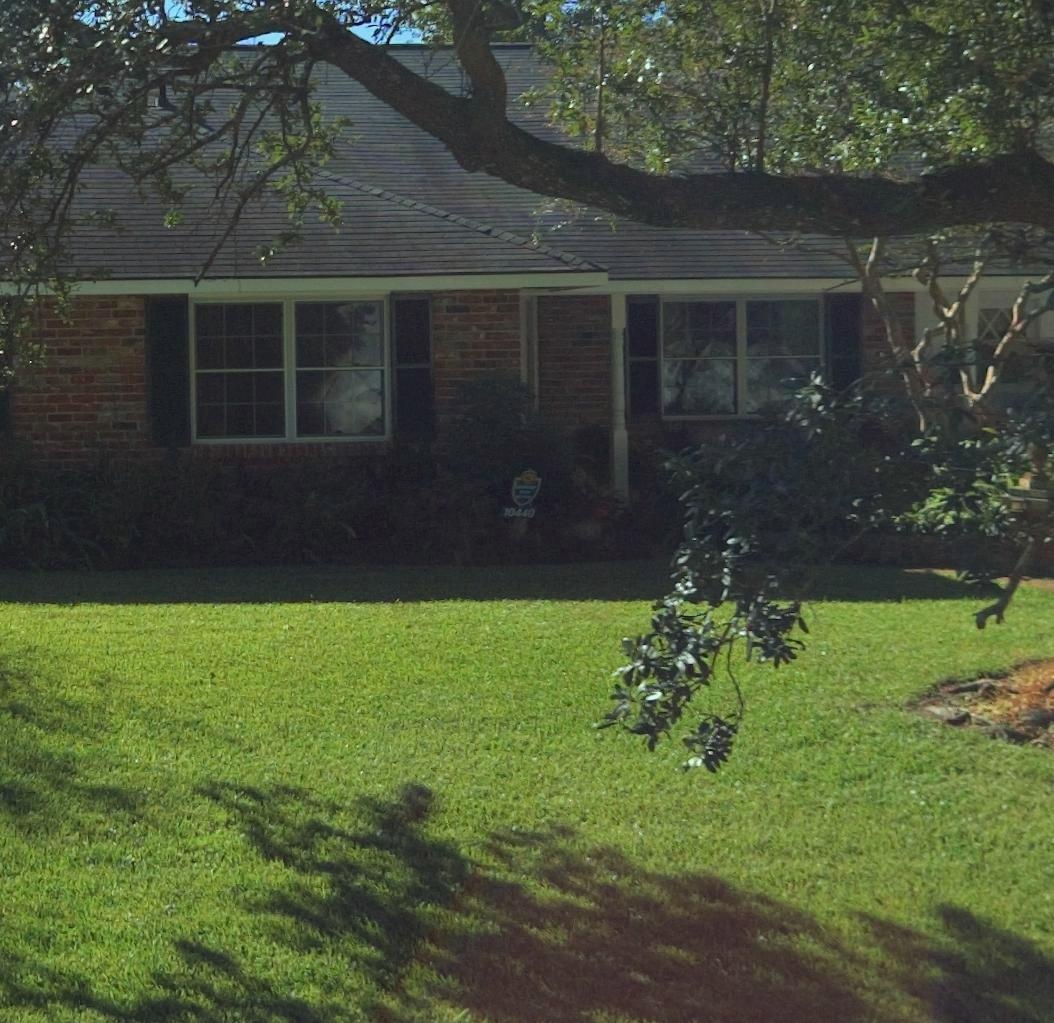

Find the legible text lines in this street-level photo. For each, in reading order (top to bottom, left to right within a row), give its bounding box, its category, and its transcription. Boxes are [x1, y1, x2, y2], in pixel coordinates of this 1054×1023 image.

[502, 506, 537, 520] StreetNumber: 10440